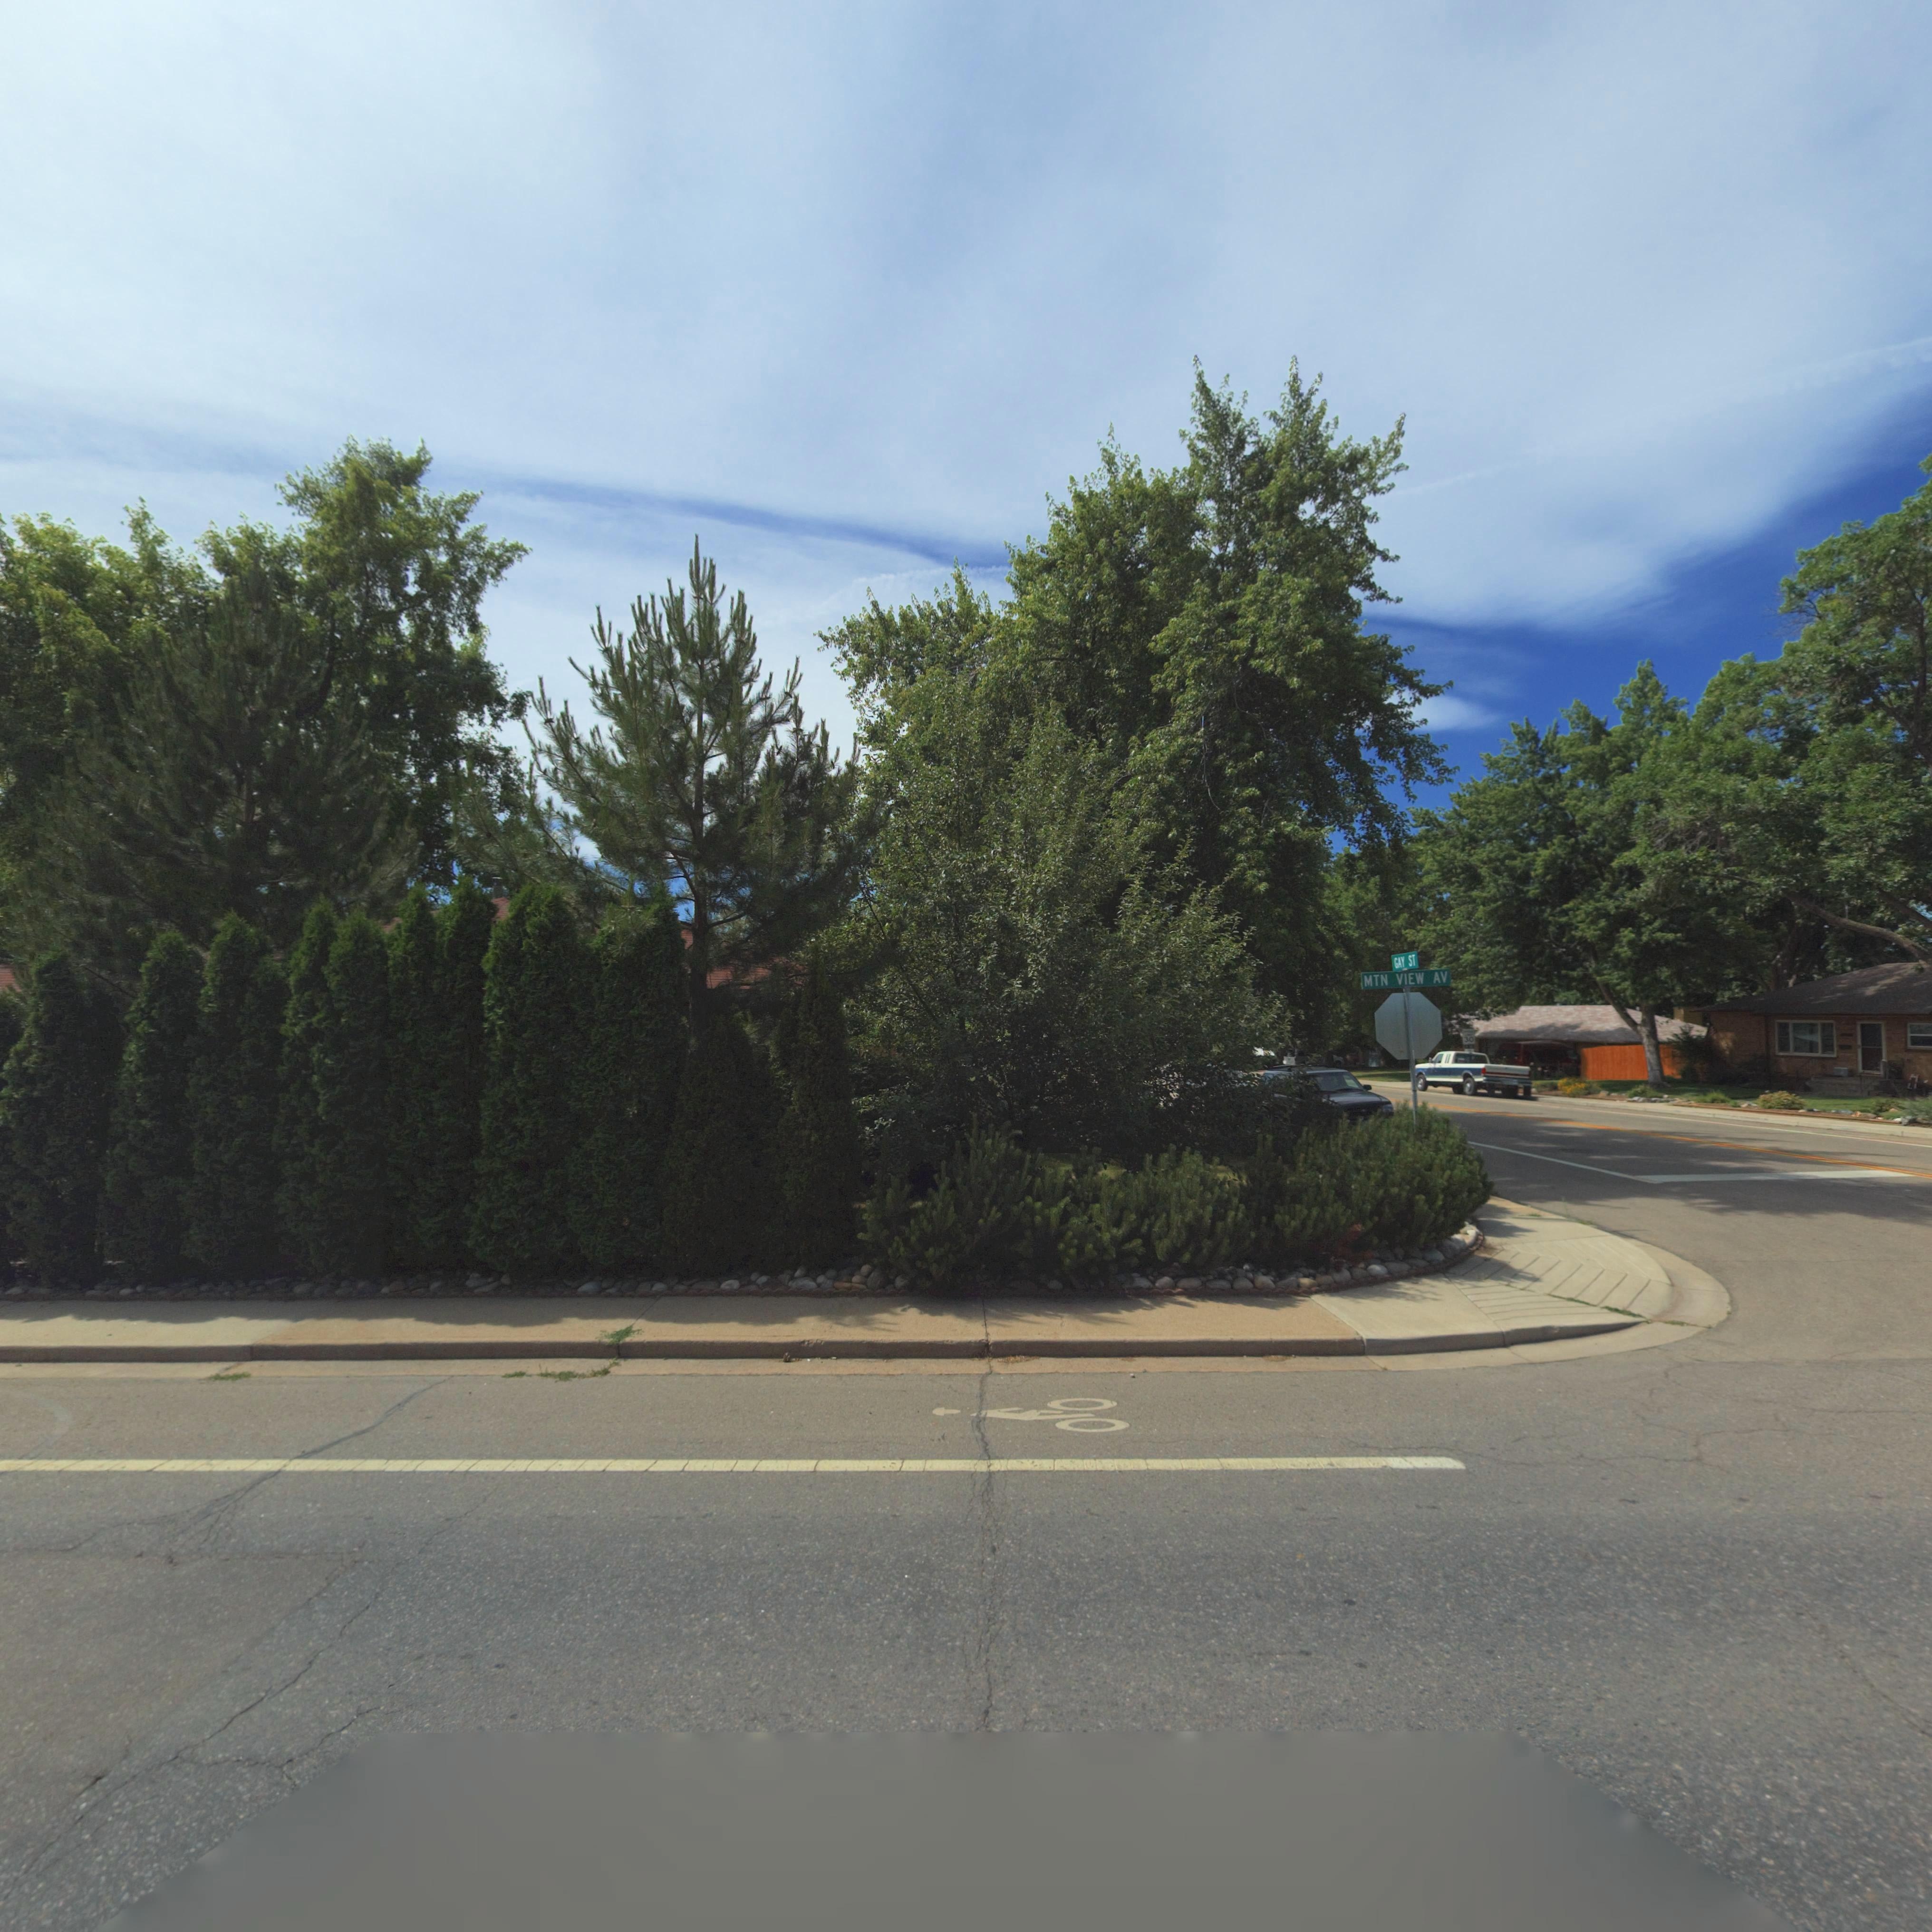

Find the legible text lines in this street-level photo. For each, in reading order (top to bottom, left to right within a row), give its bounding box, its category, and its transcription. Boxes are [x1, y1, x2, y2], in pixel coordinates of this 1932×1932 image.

[1393, 954, 1416, 968] StreetName: GAY ST
[1363, 970, 1448, 987] StreetName: MTN VIEW AV